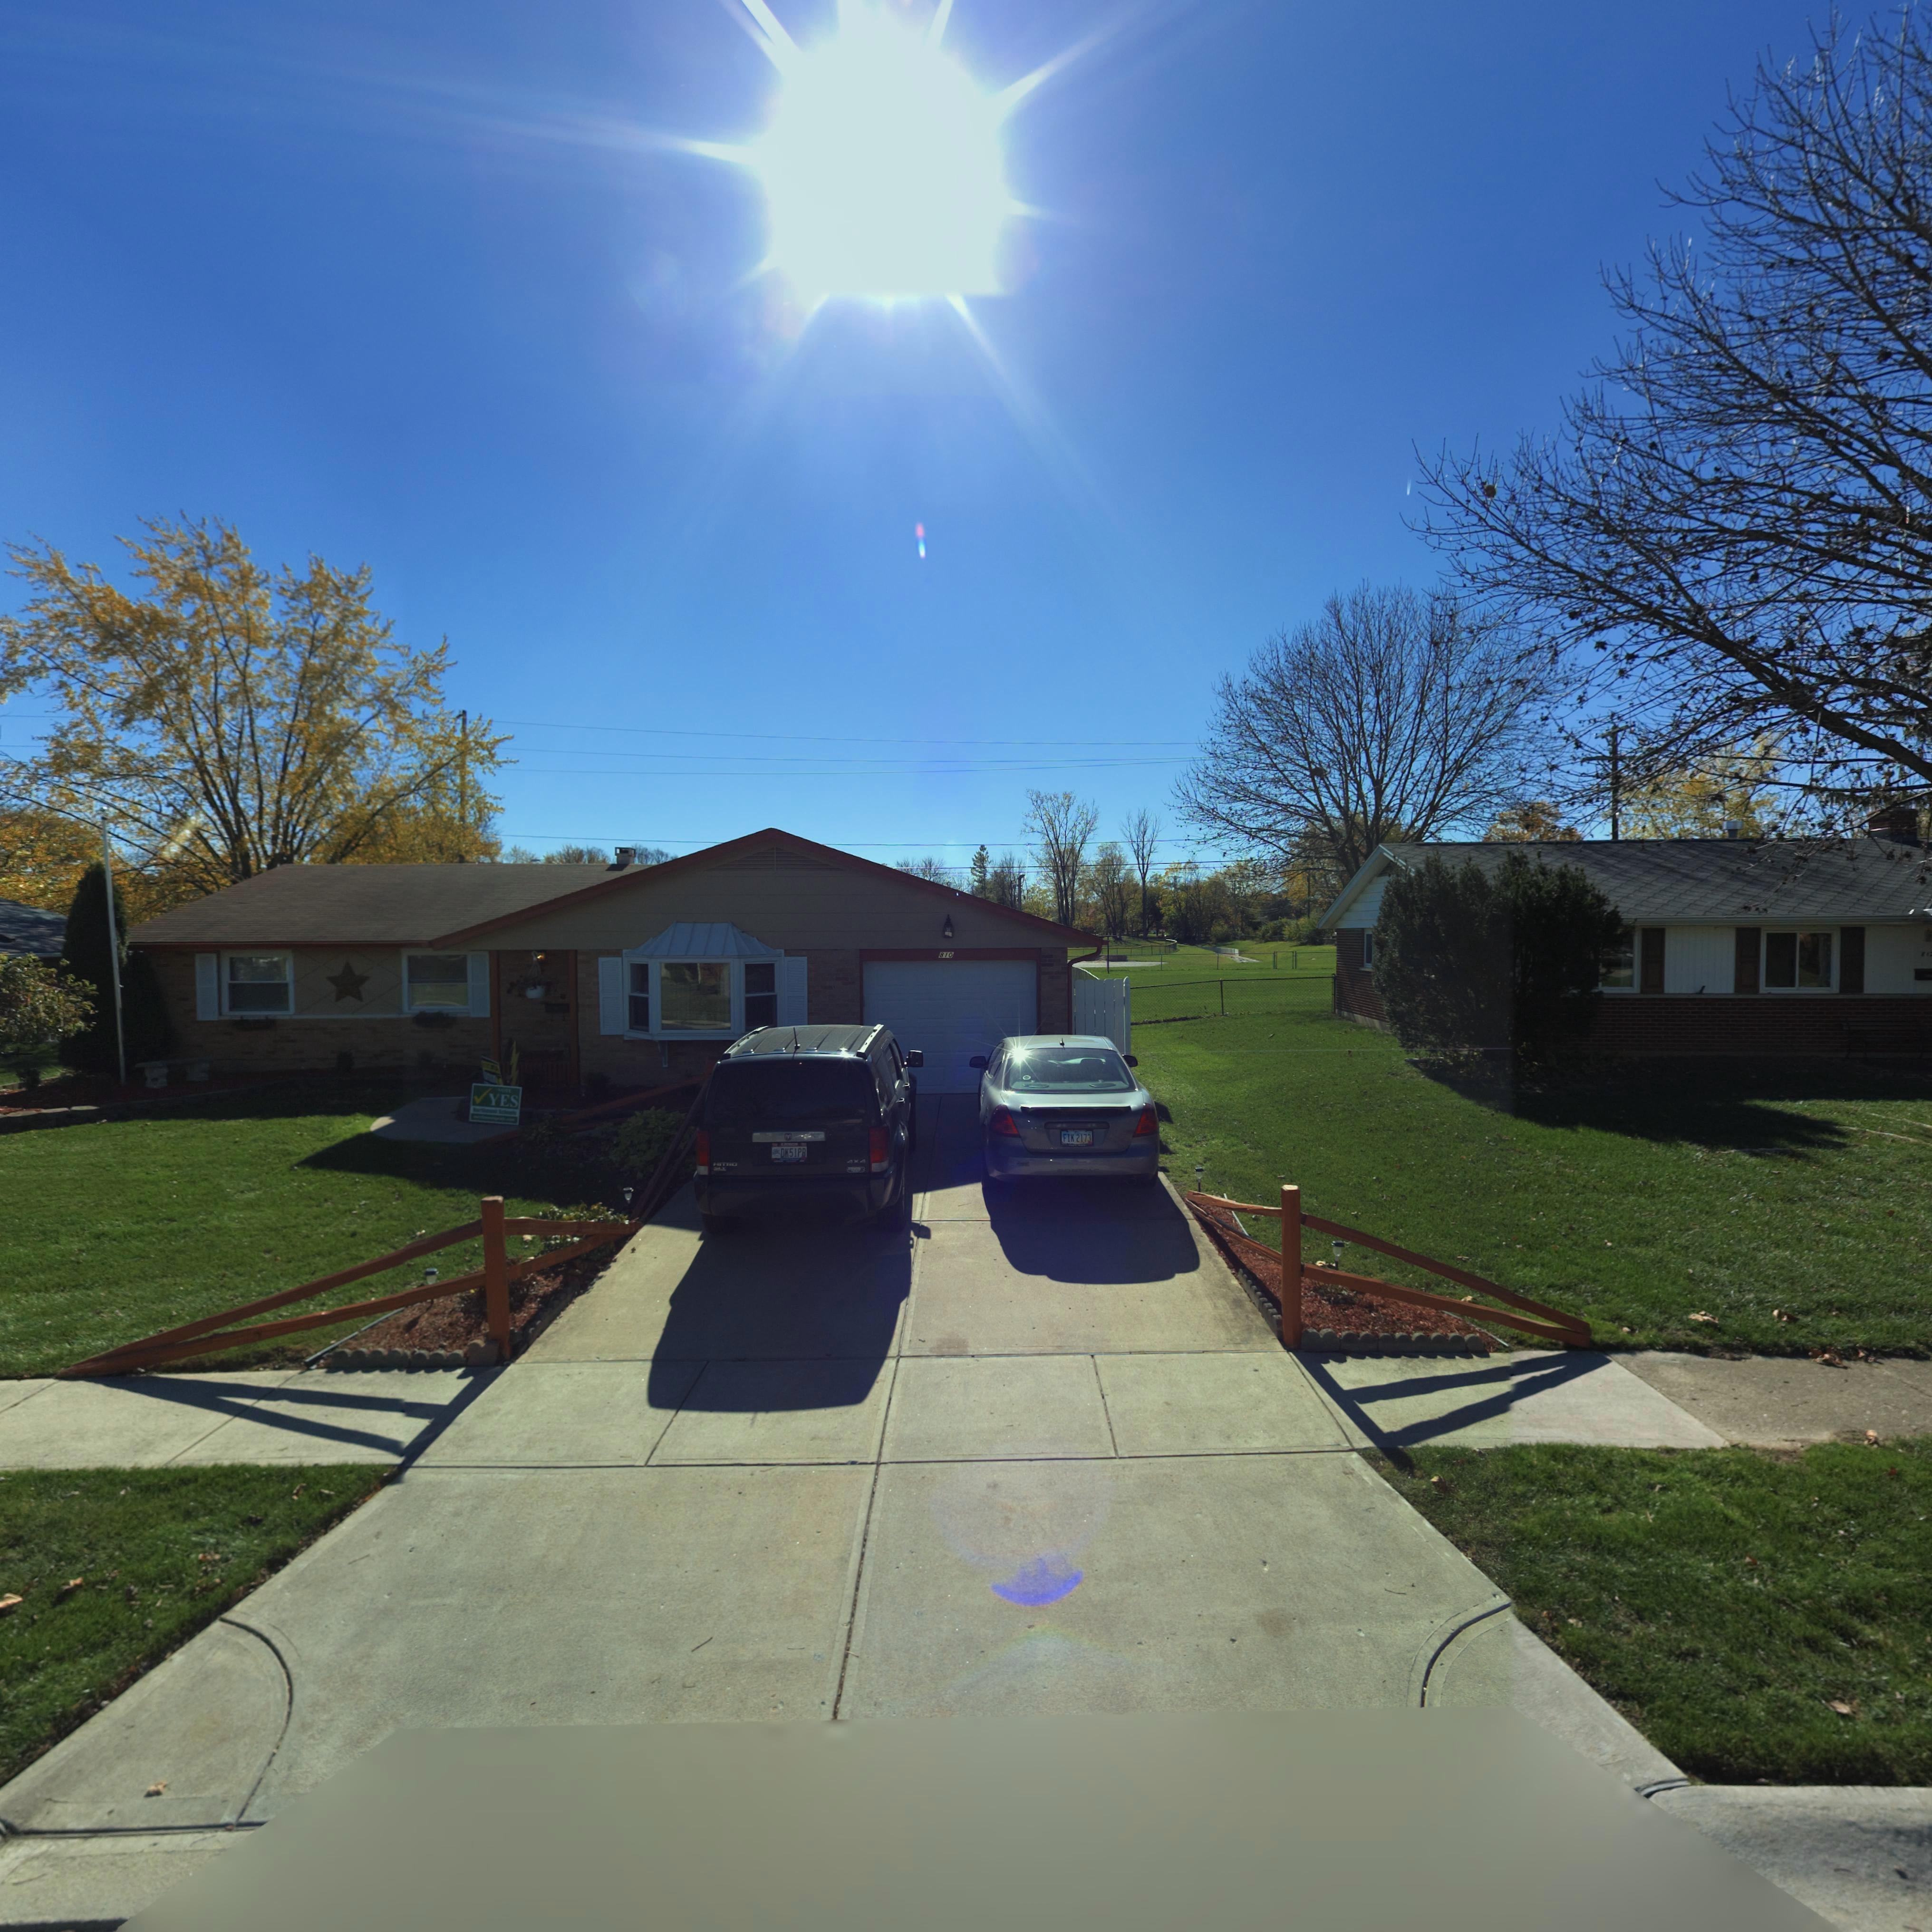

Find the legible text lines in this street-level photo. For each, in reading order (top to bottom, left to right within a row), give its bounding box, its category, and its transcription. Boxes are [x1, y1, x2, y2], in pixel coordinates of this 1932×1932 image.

[938, 952, 954, 958] StreetNumber: 810
[1921, 952, 1929, 957] StreetNumber: 81